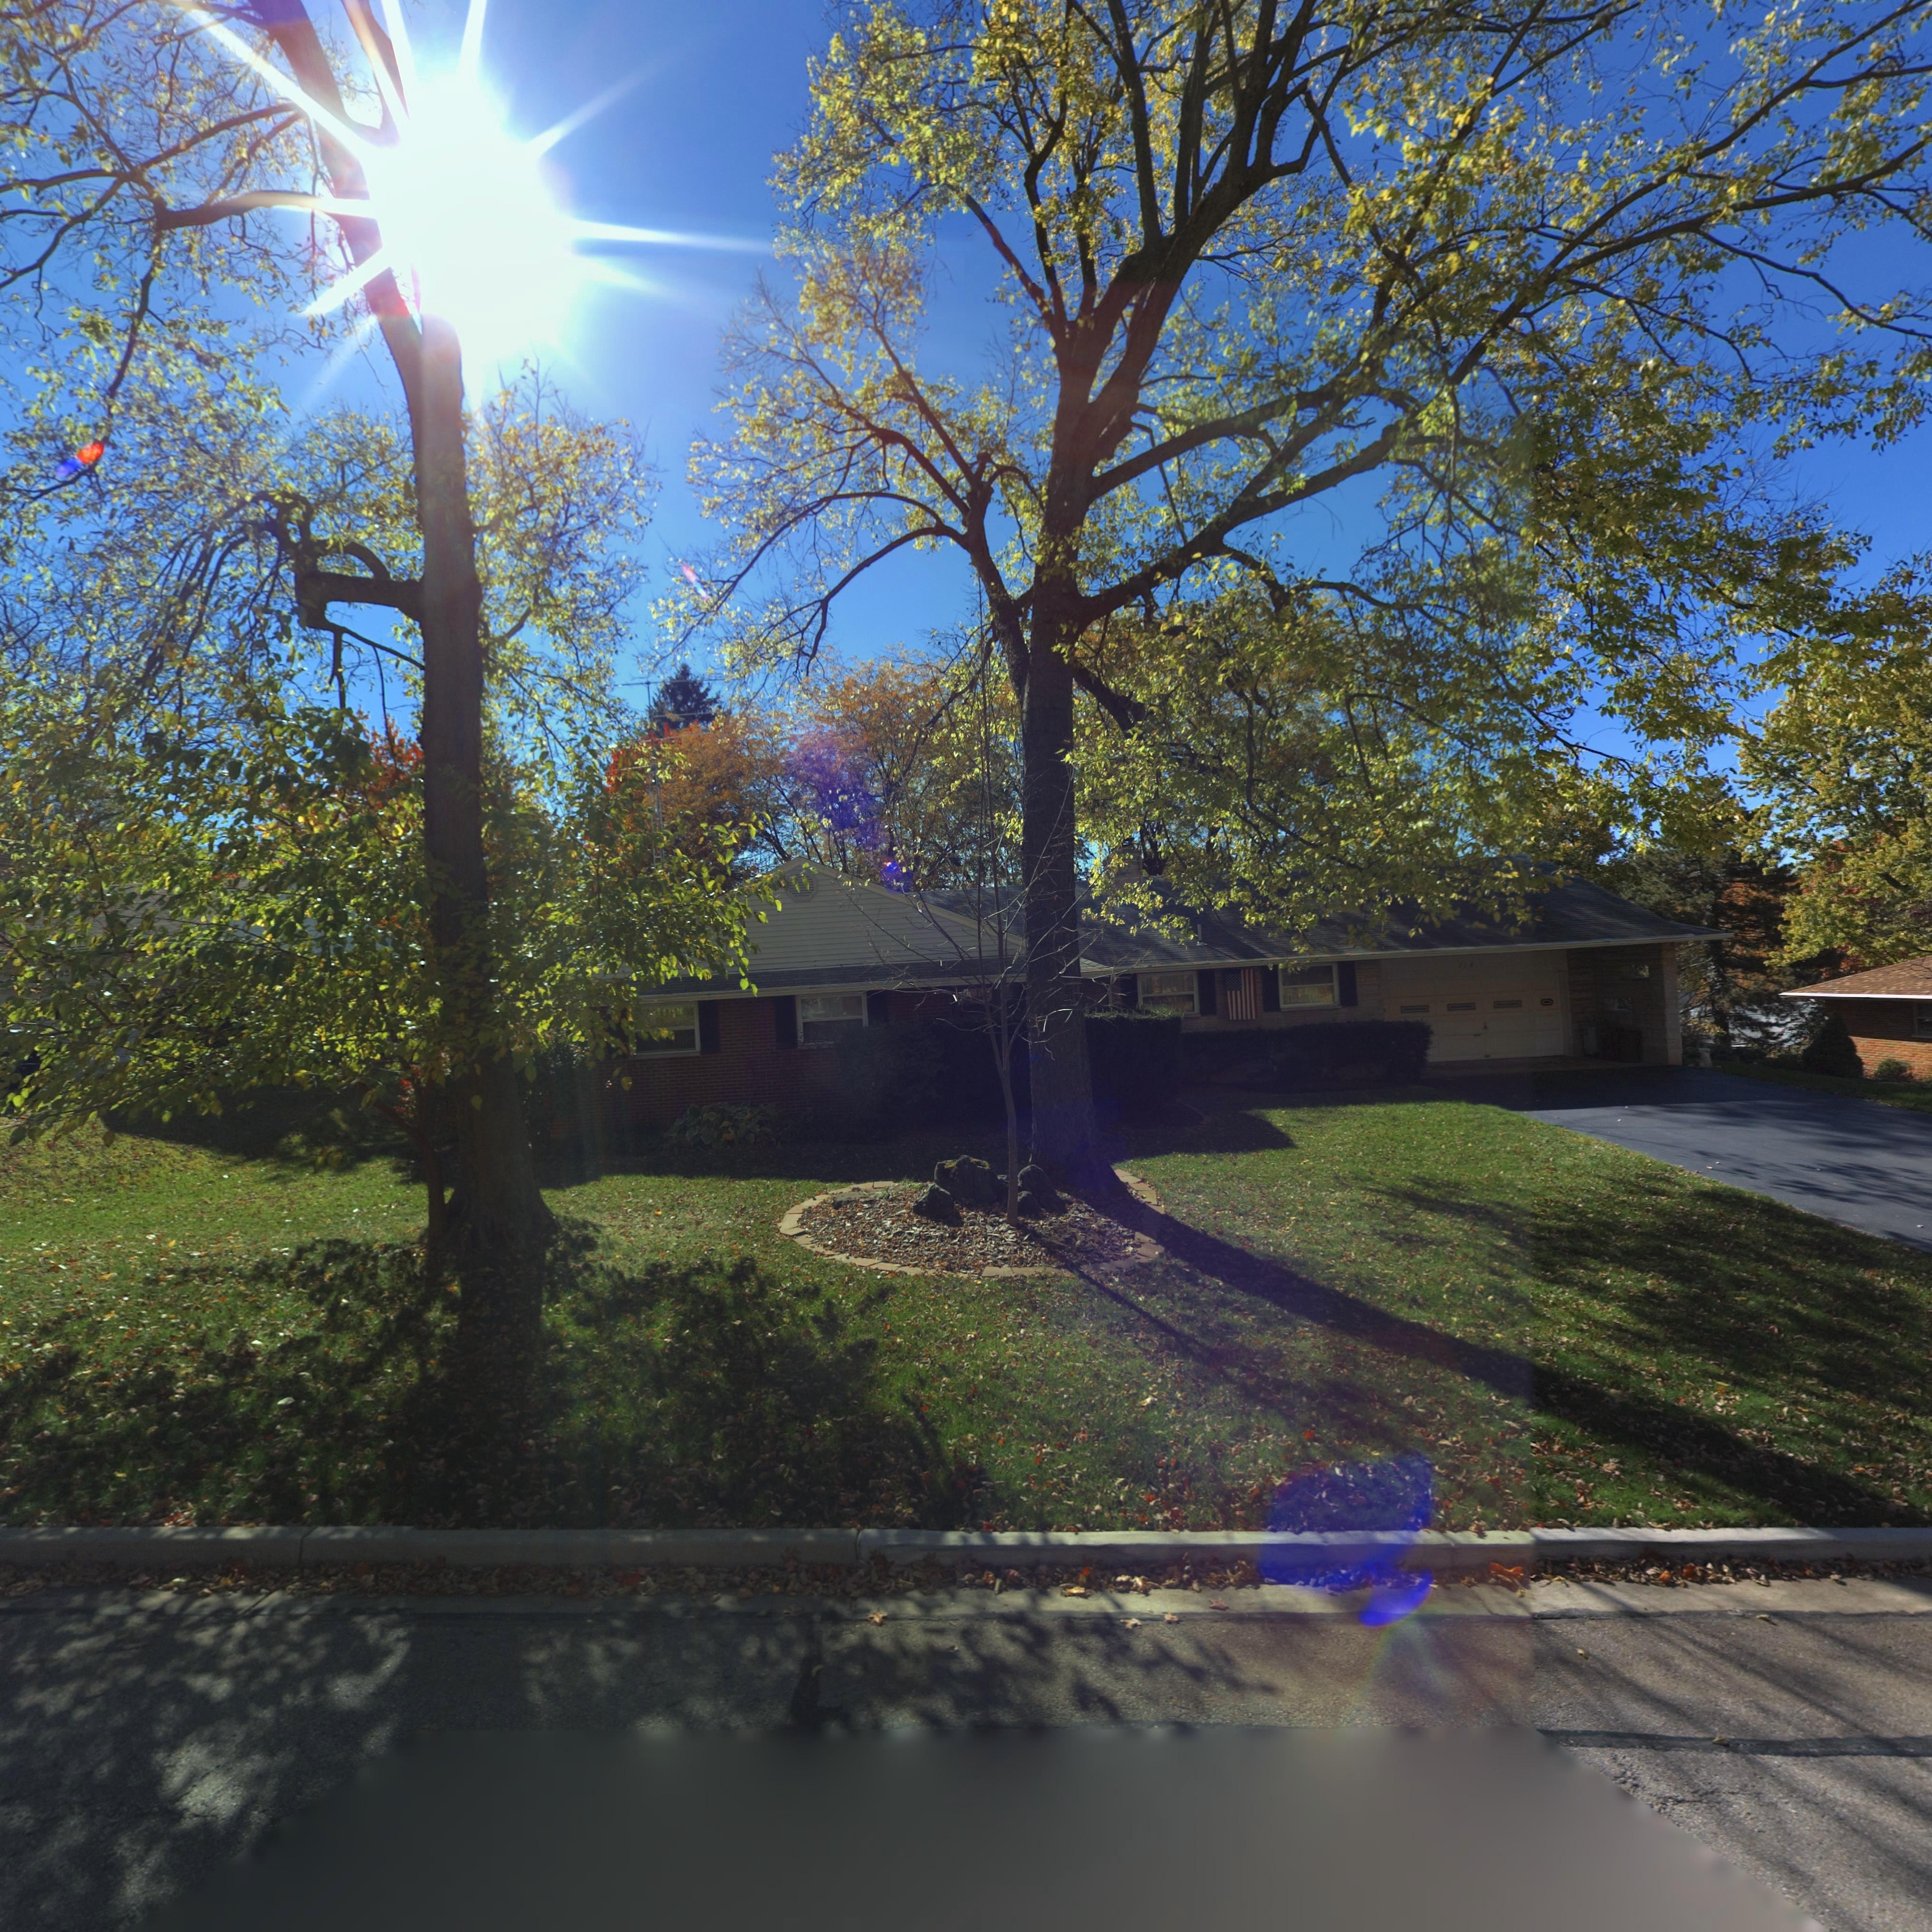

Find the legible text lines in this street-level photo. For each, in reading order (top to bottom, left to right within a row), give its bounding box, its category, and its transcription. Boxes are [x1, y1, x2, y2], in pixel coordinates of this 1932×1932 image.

[1456, 960, 1476, 969] StreetNumber: 114